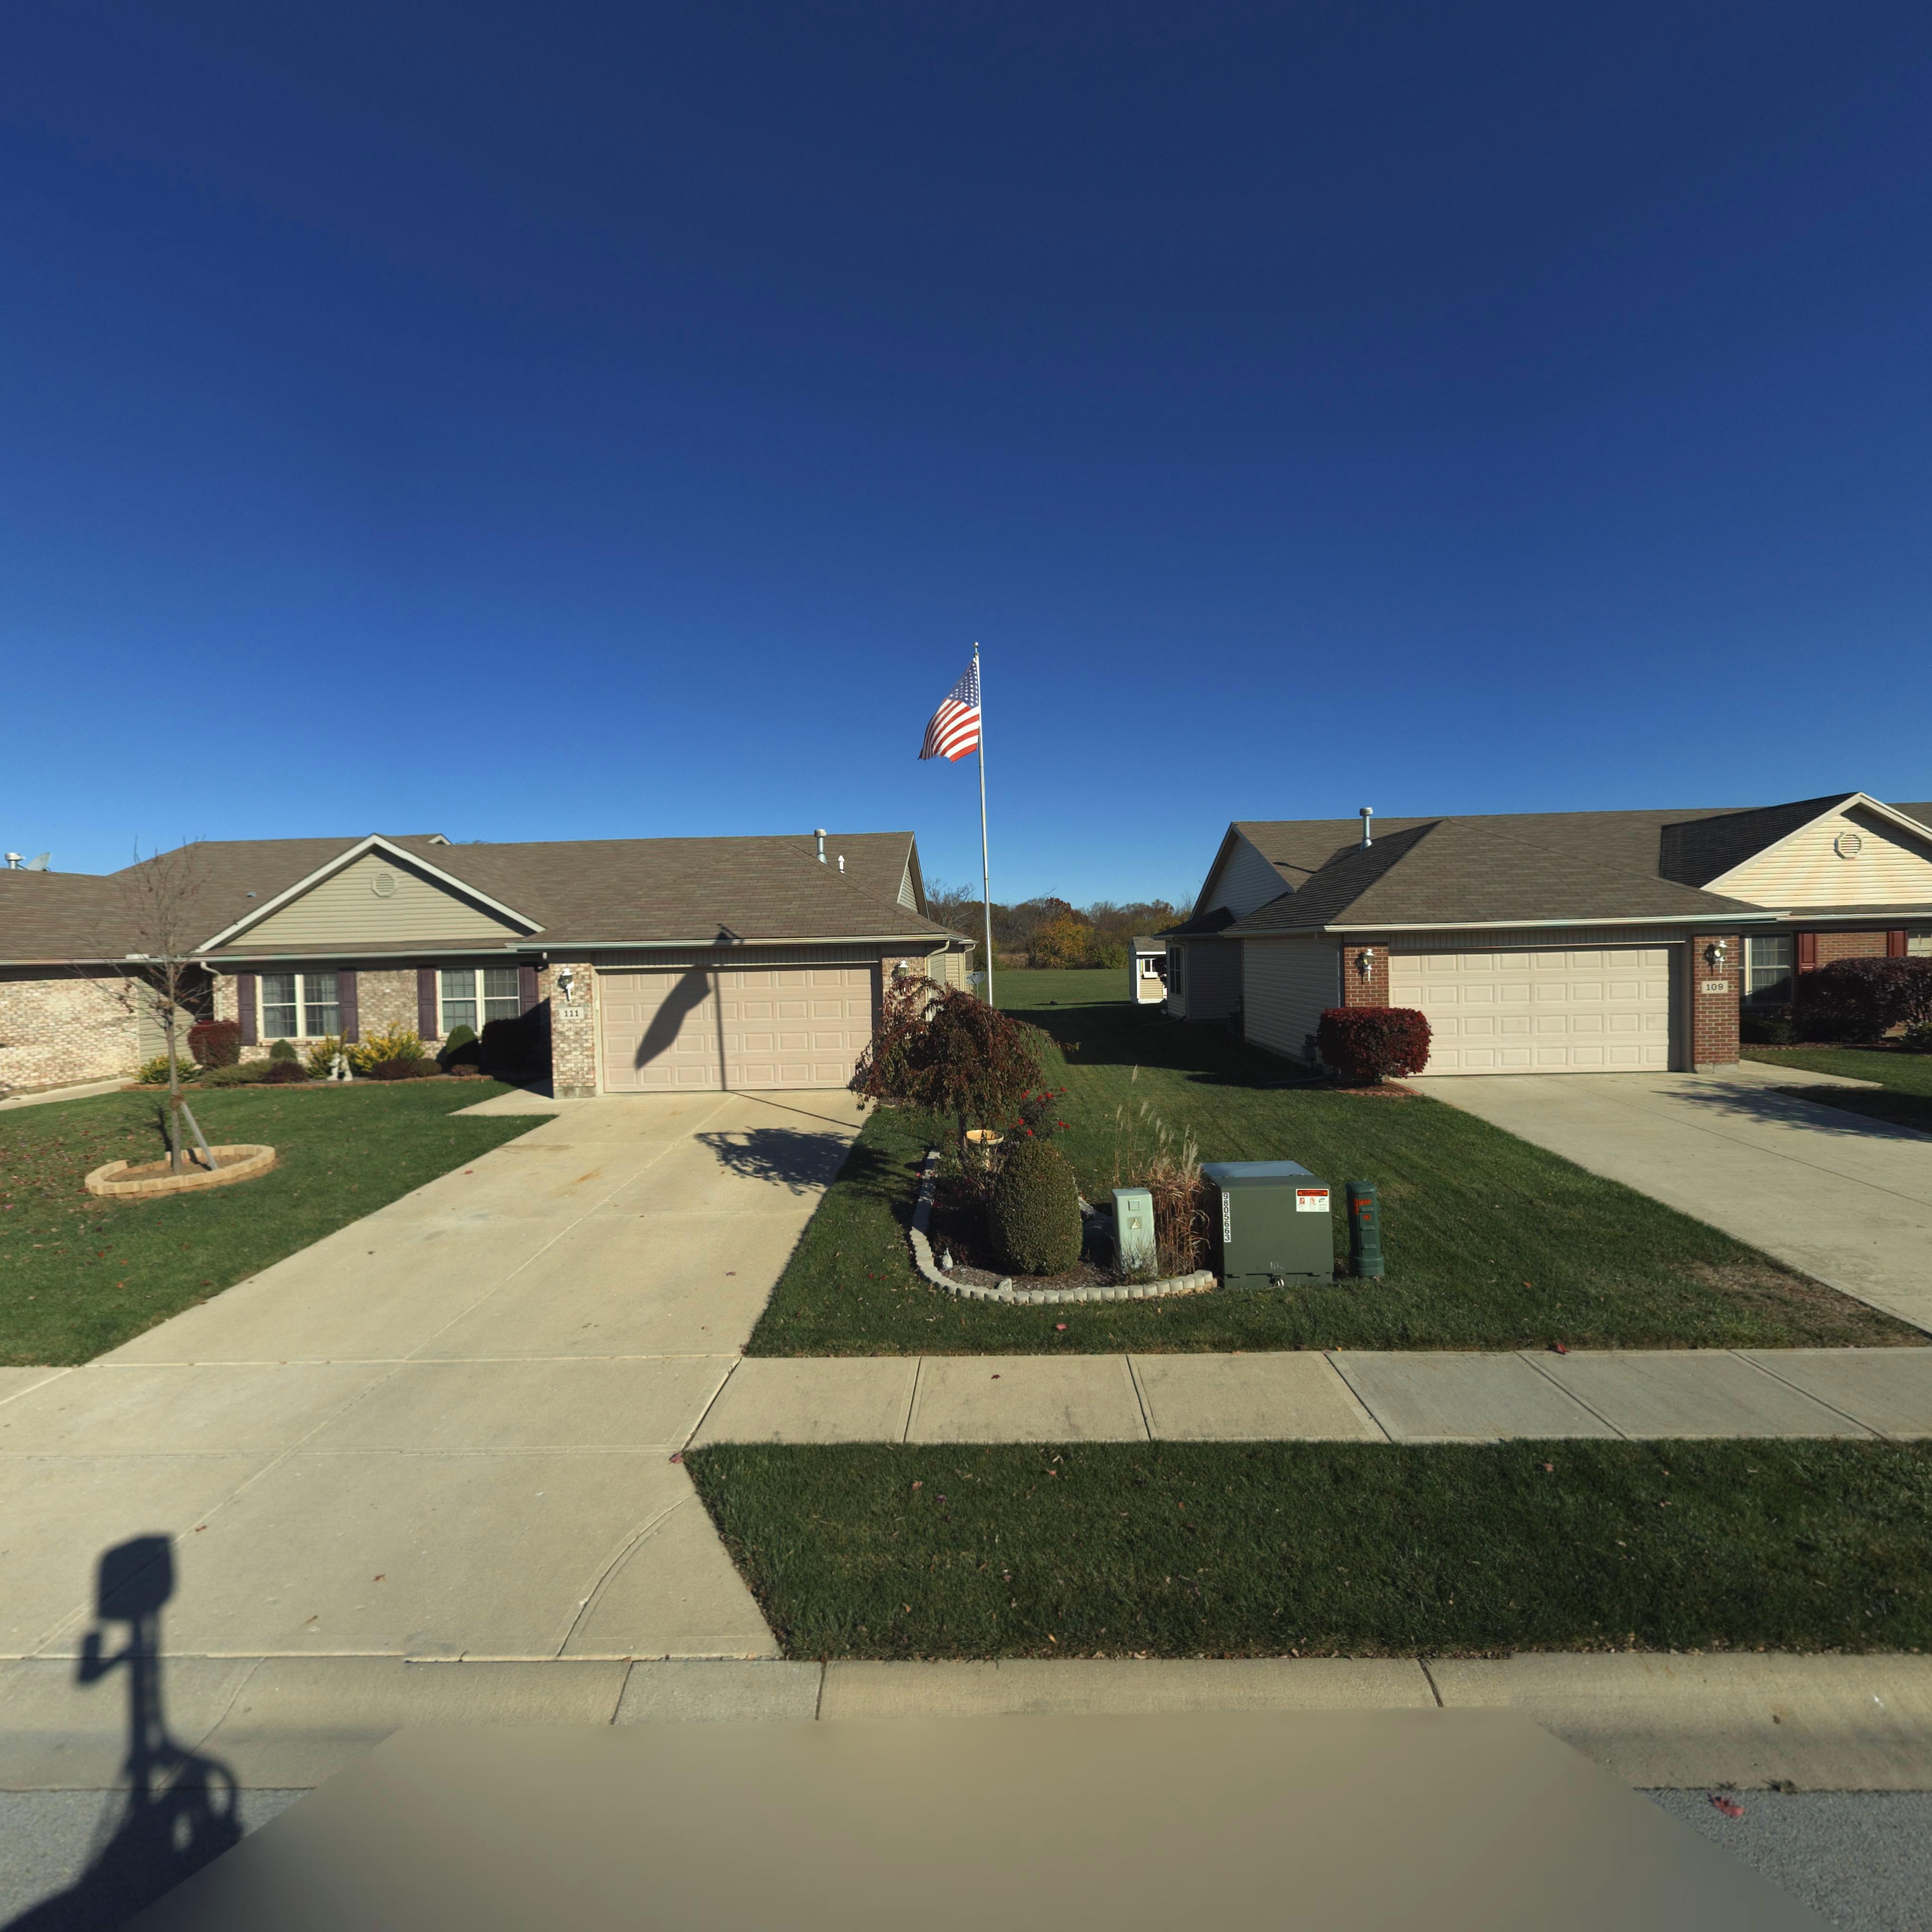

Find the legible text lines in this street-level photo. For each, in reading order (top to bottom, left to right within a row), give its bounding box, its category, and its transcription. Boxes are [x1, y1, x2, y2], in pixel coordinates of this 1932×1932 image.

[1705, 982, 1725, 992] StreetNumber: 109
[563, 1009, 580, 1018] StreetNumber: 111